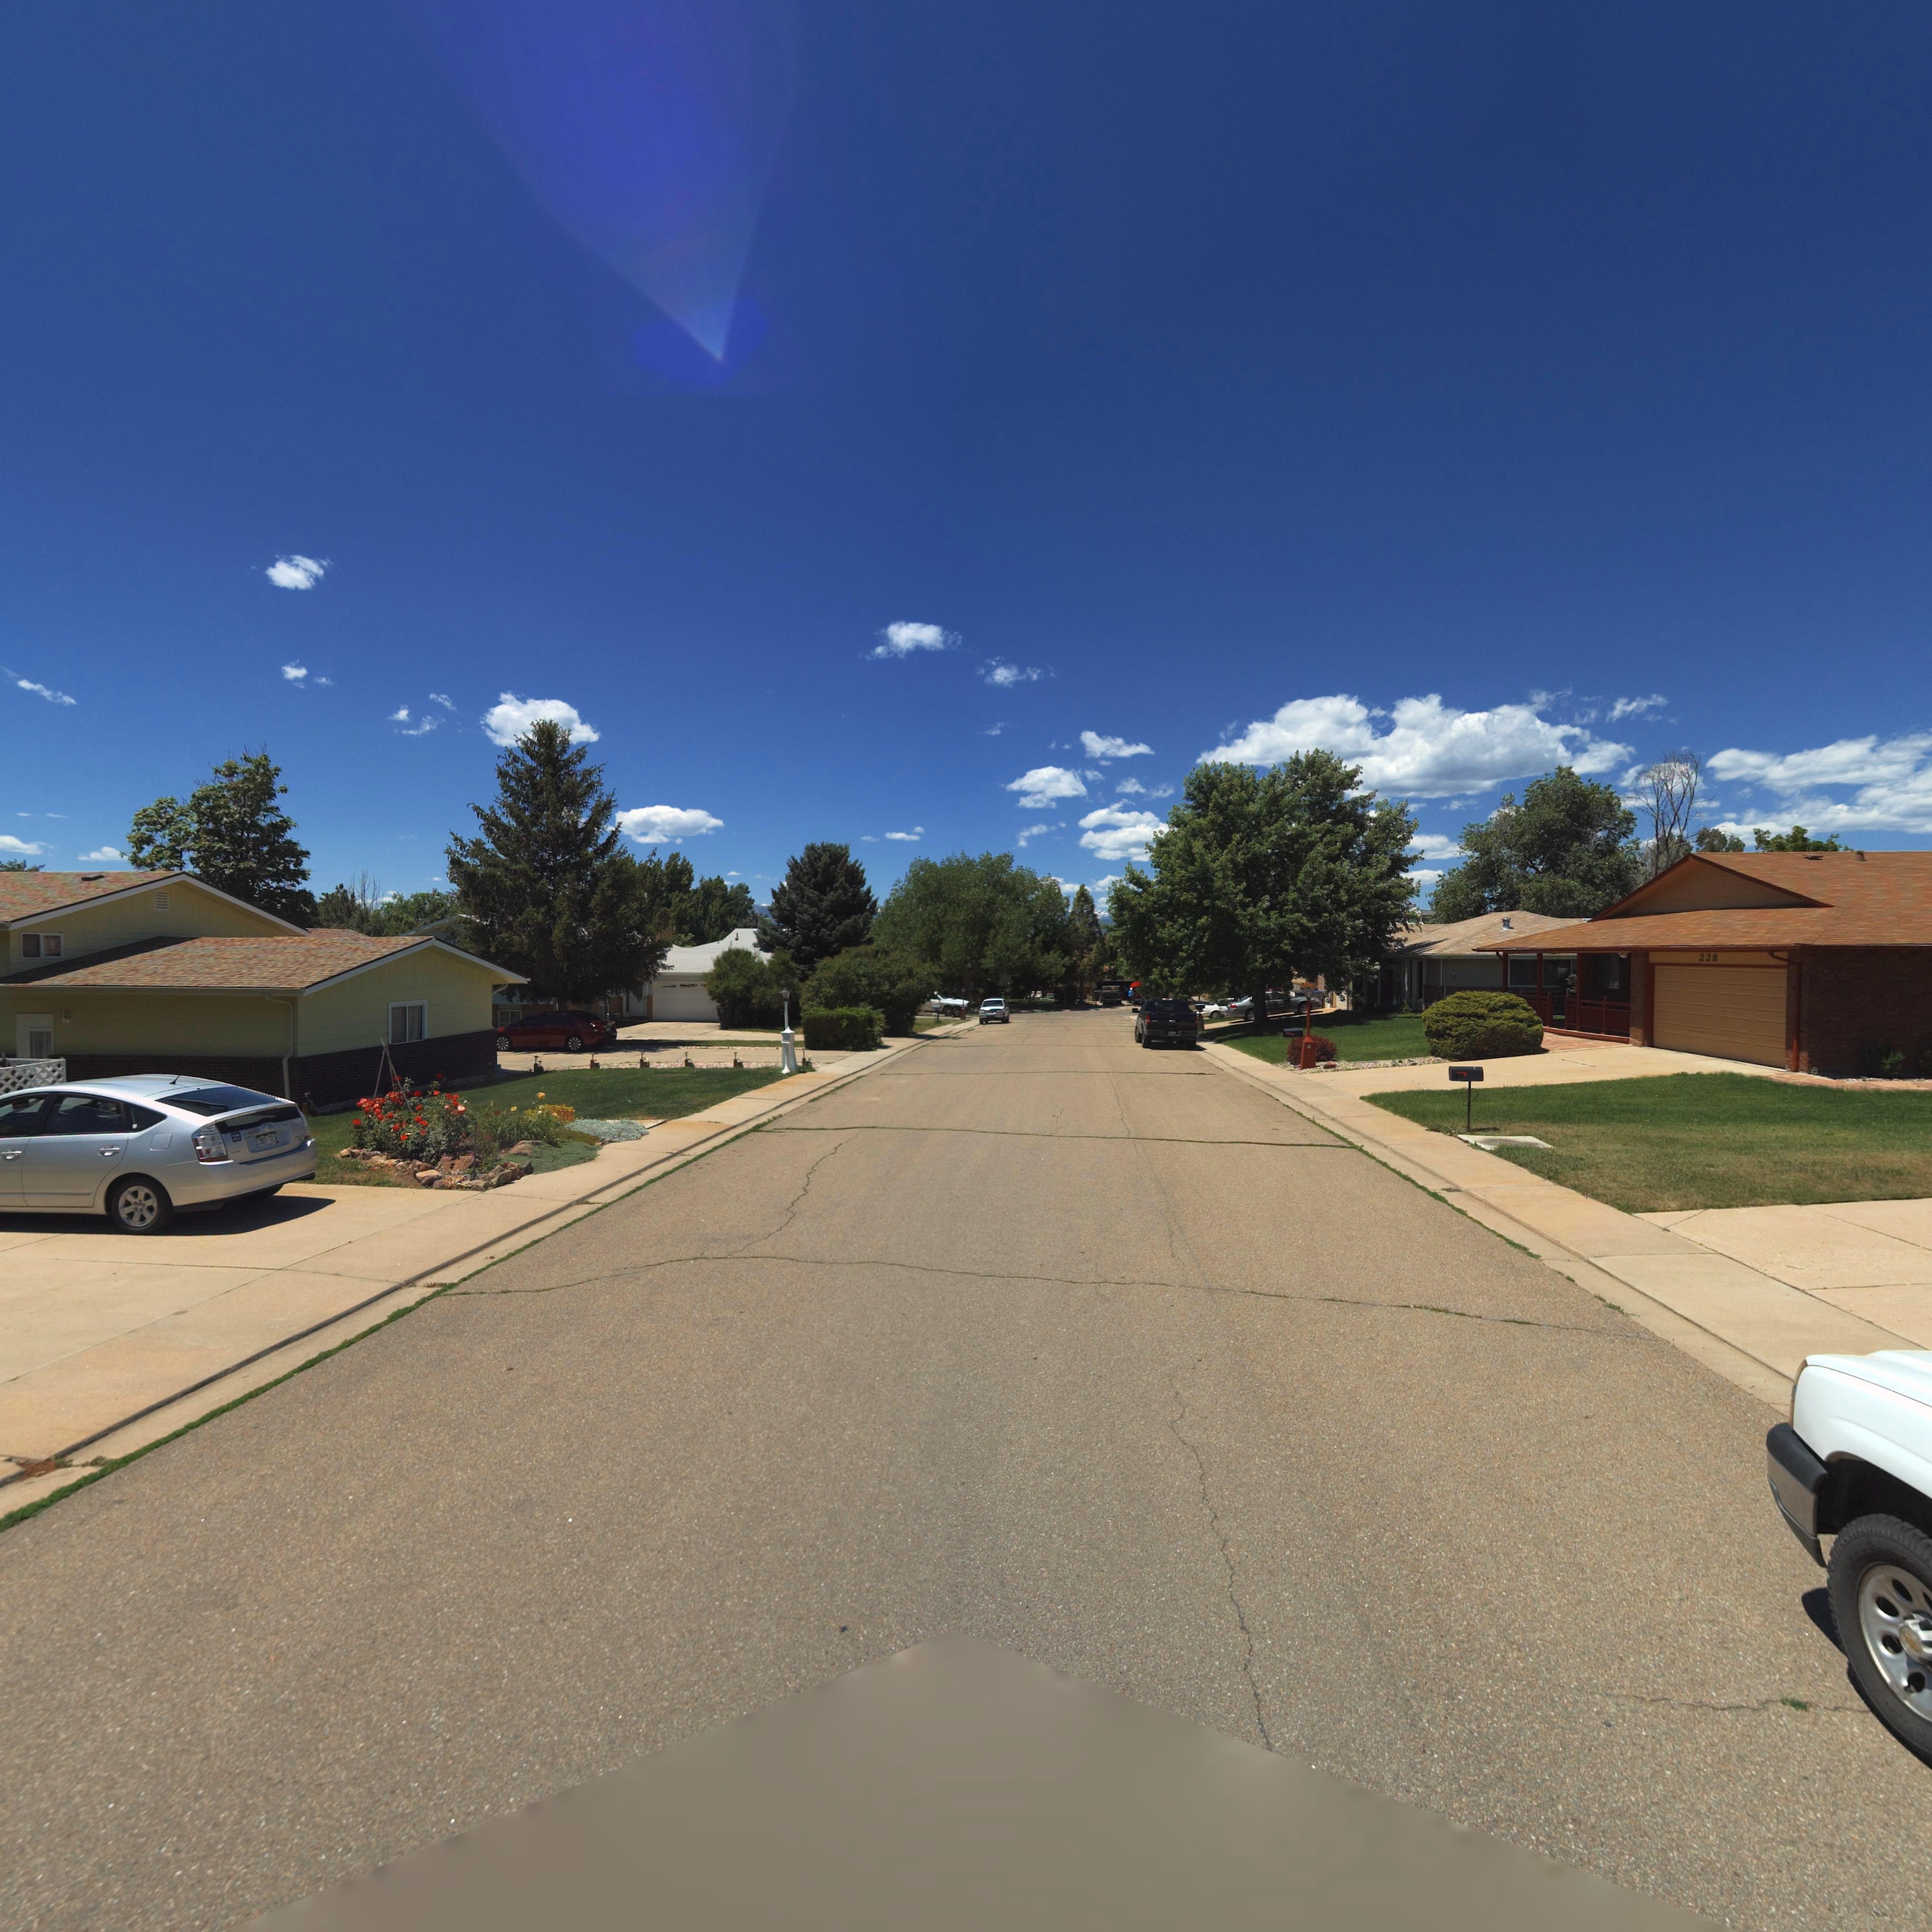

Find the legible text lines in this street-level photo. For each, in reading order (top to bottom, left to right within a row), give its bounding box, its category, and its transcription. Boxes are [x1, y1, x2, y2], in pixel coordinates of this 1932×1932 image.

[1699, 953, 1718, 962] StreetNumber: 228